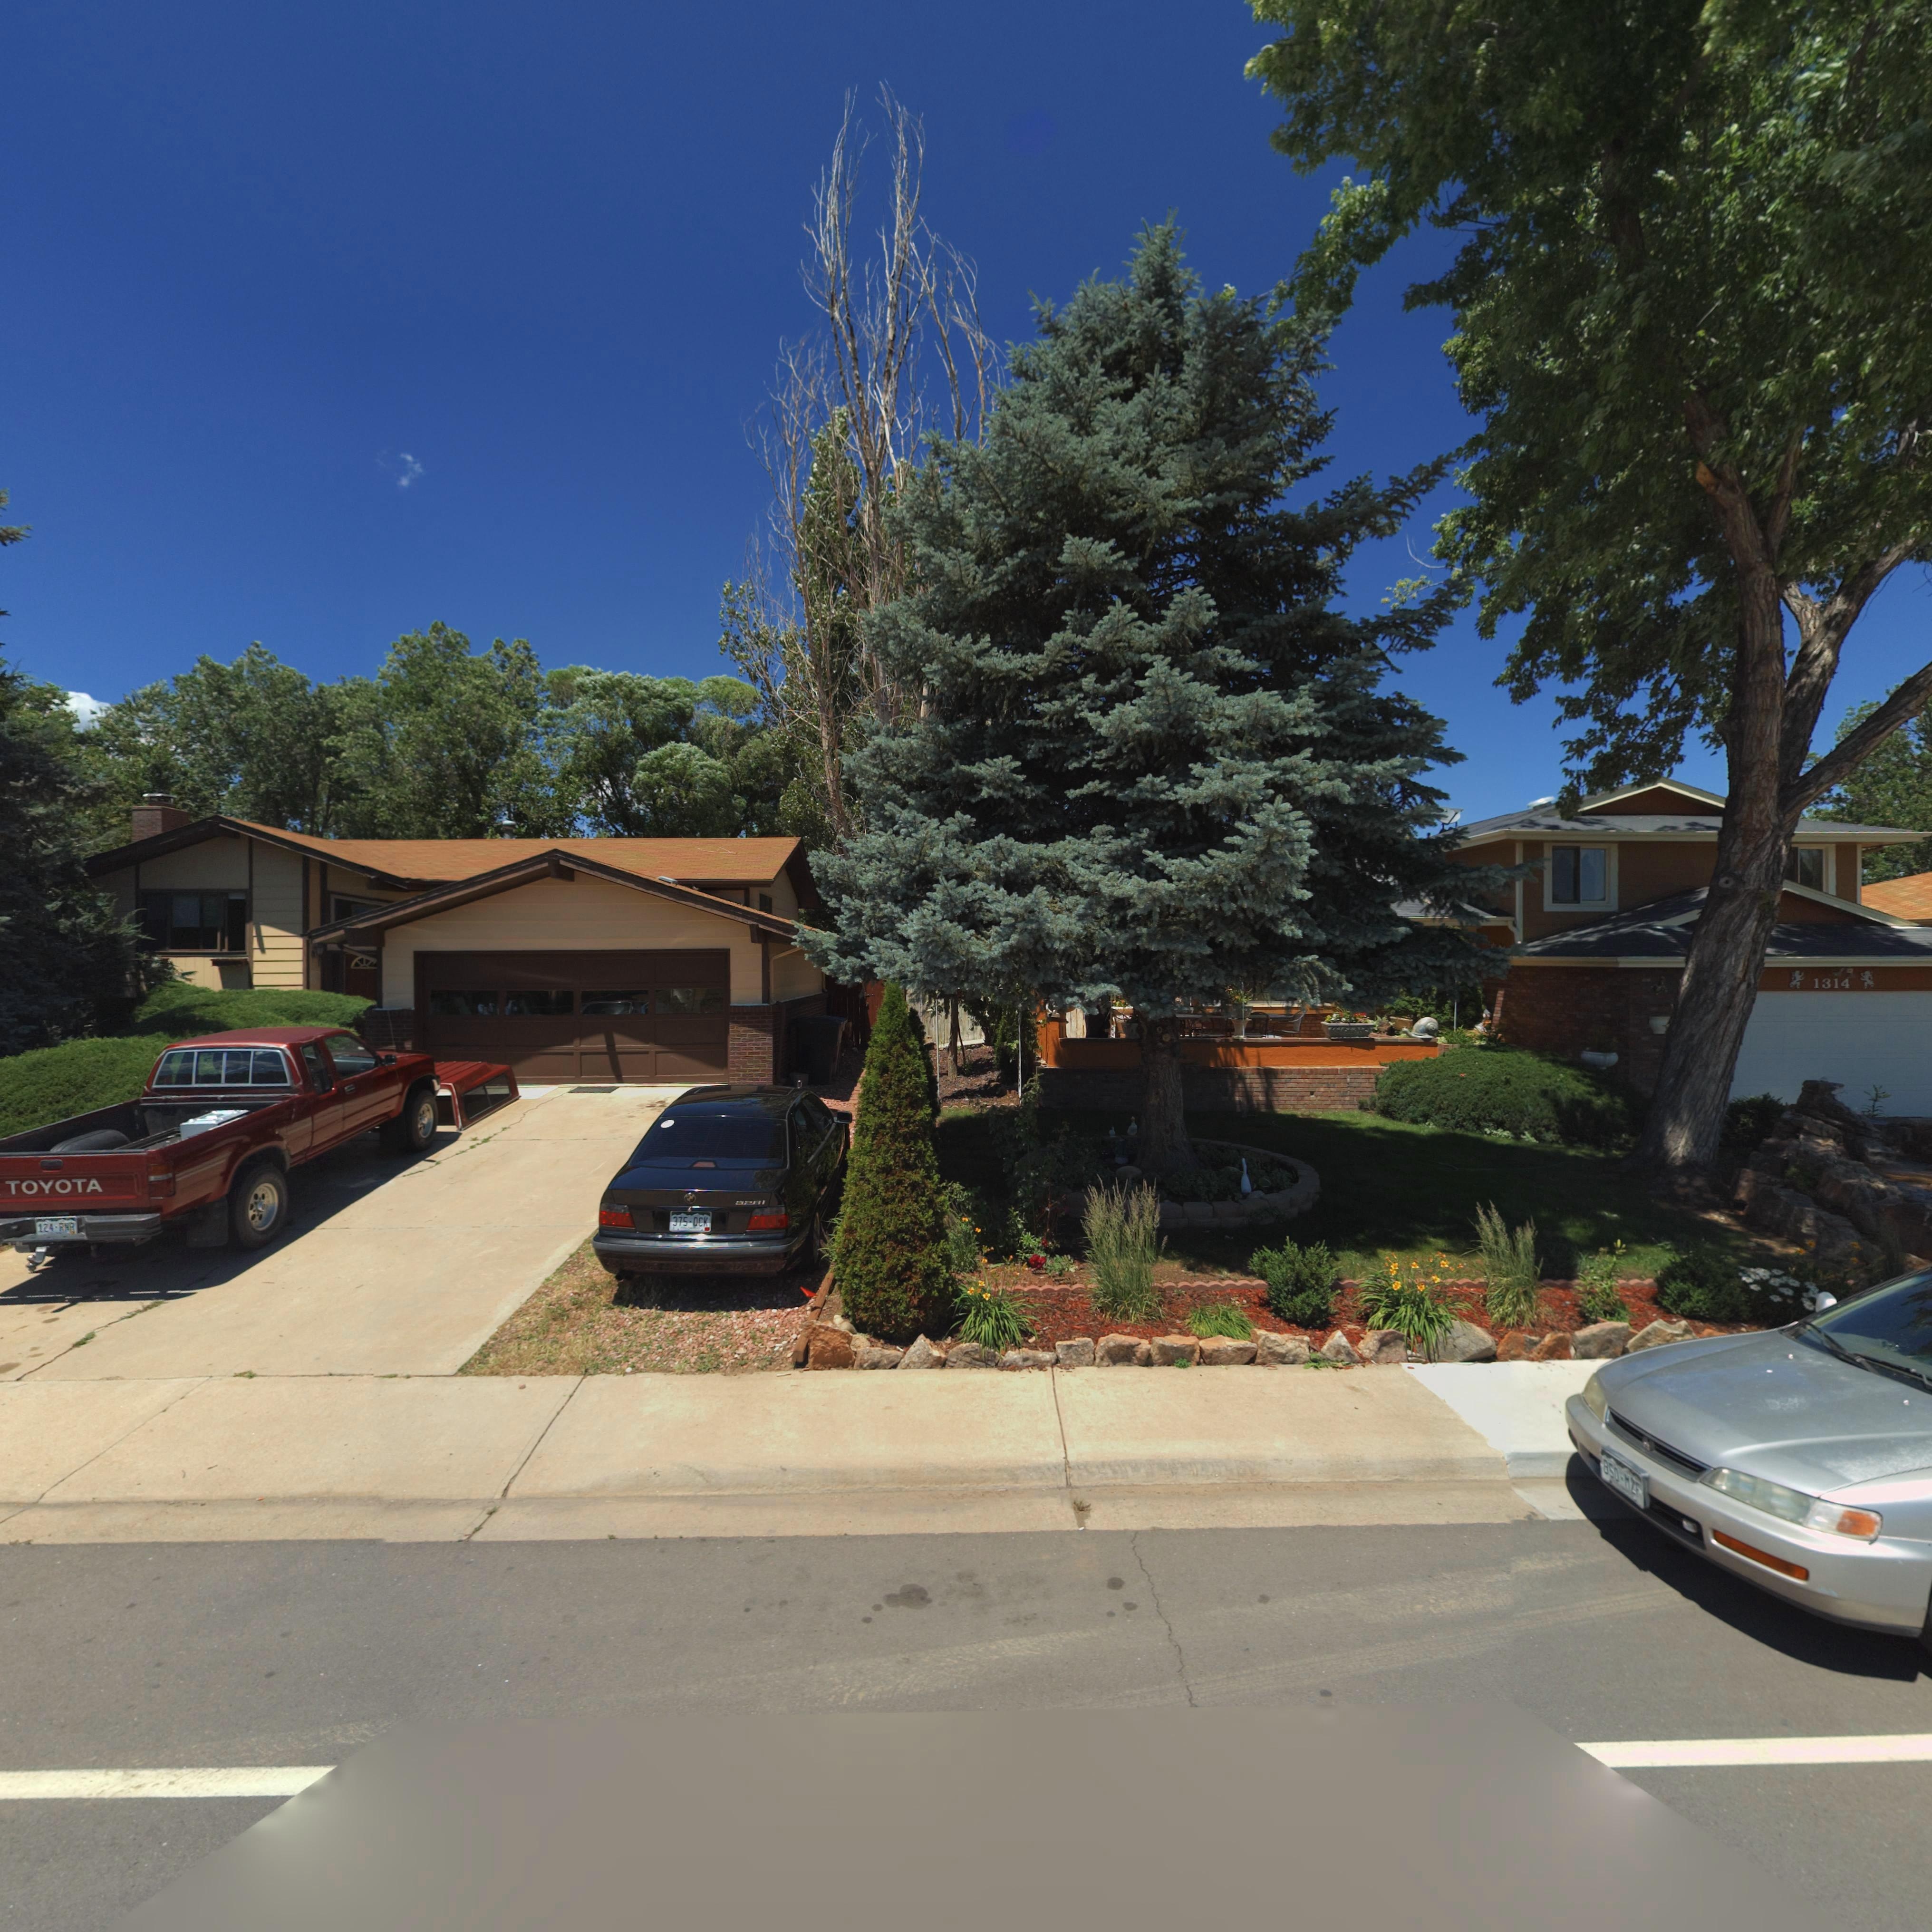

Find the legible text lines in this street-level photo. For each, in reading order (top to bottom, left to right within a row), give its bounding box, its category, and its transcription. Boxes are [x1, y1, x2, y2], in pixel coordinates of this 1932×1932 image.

[1813, 977, 1850, 988] StreetNumber: 1314